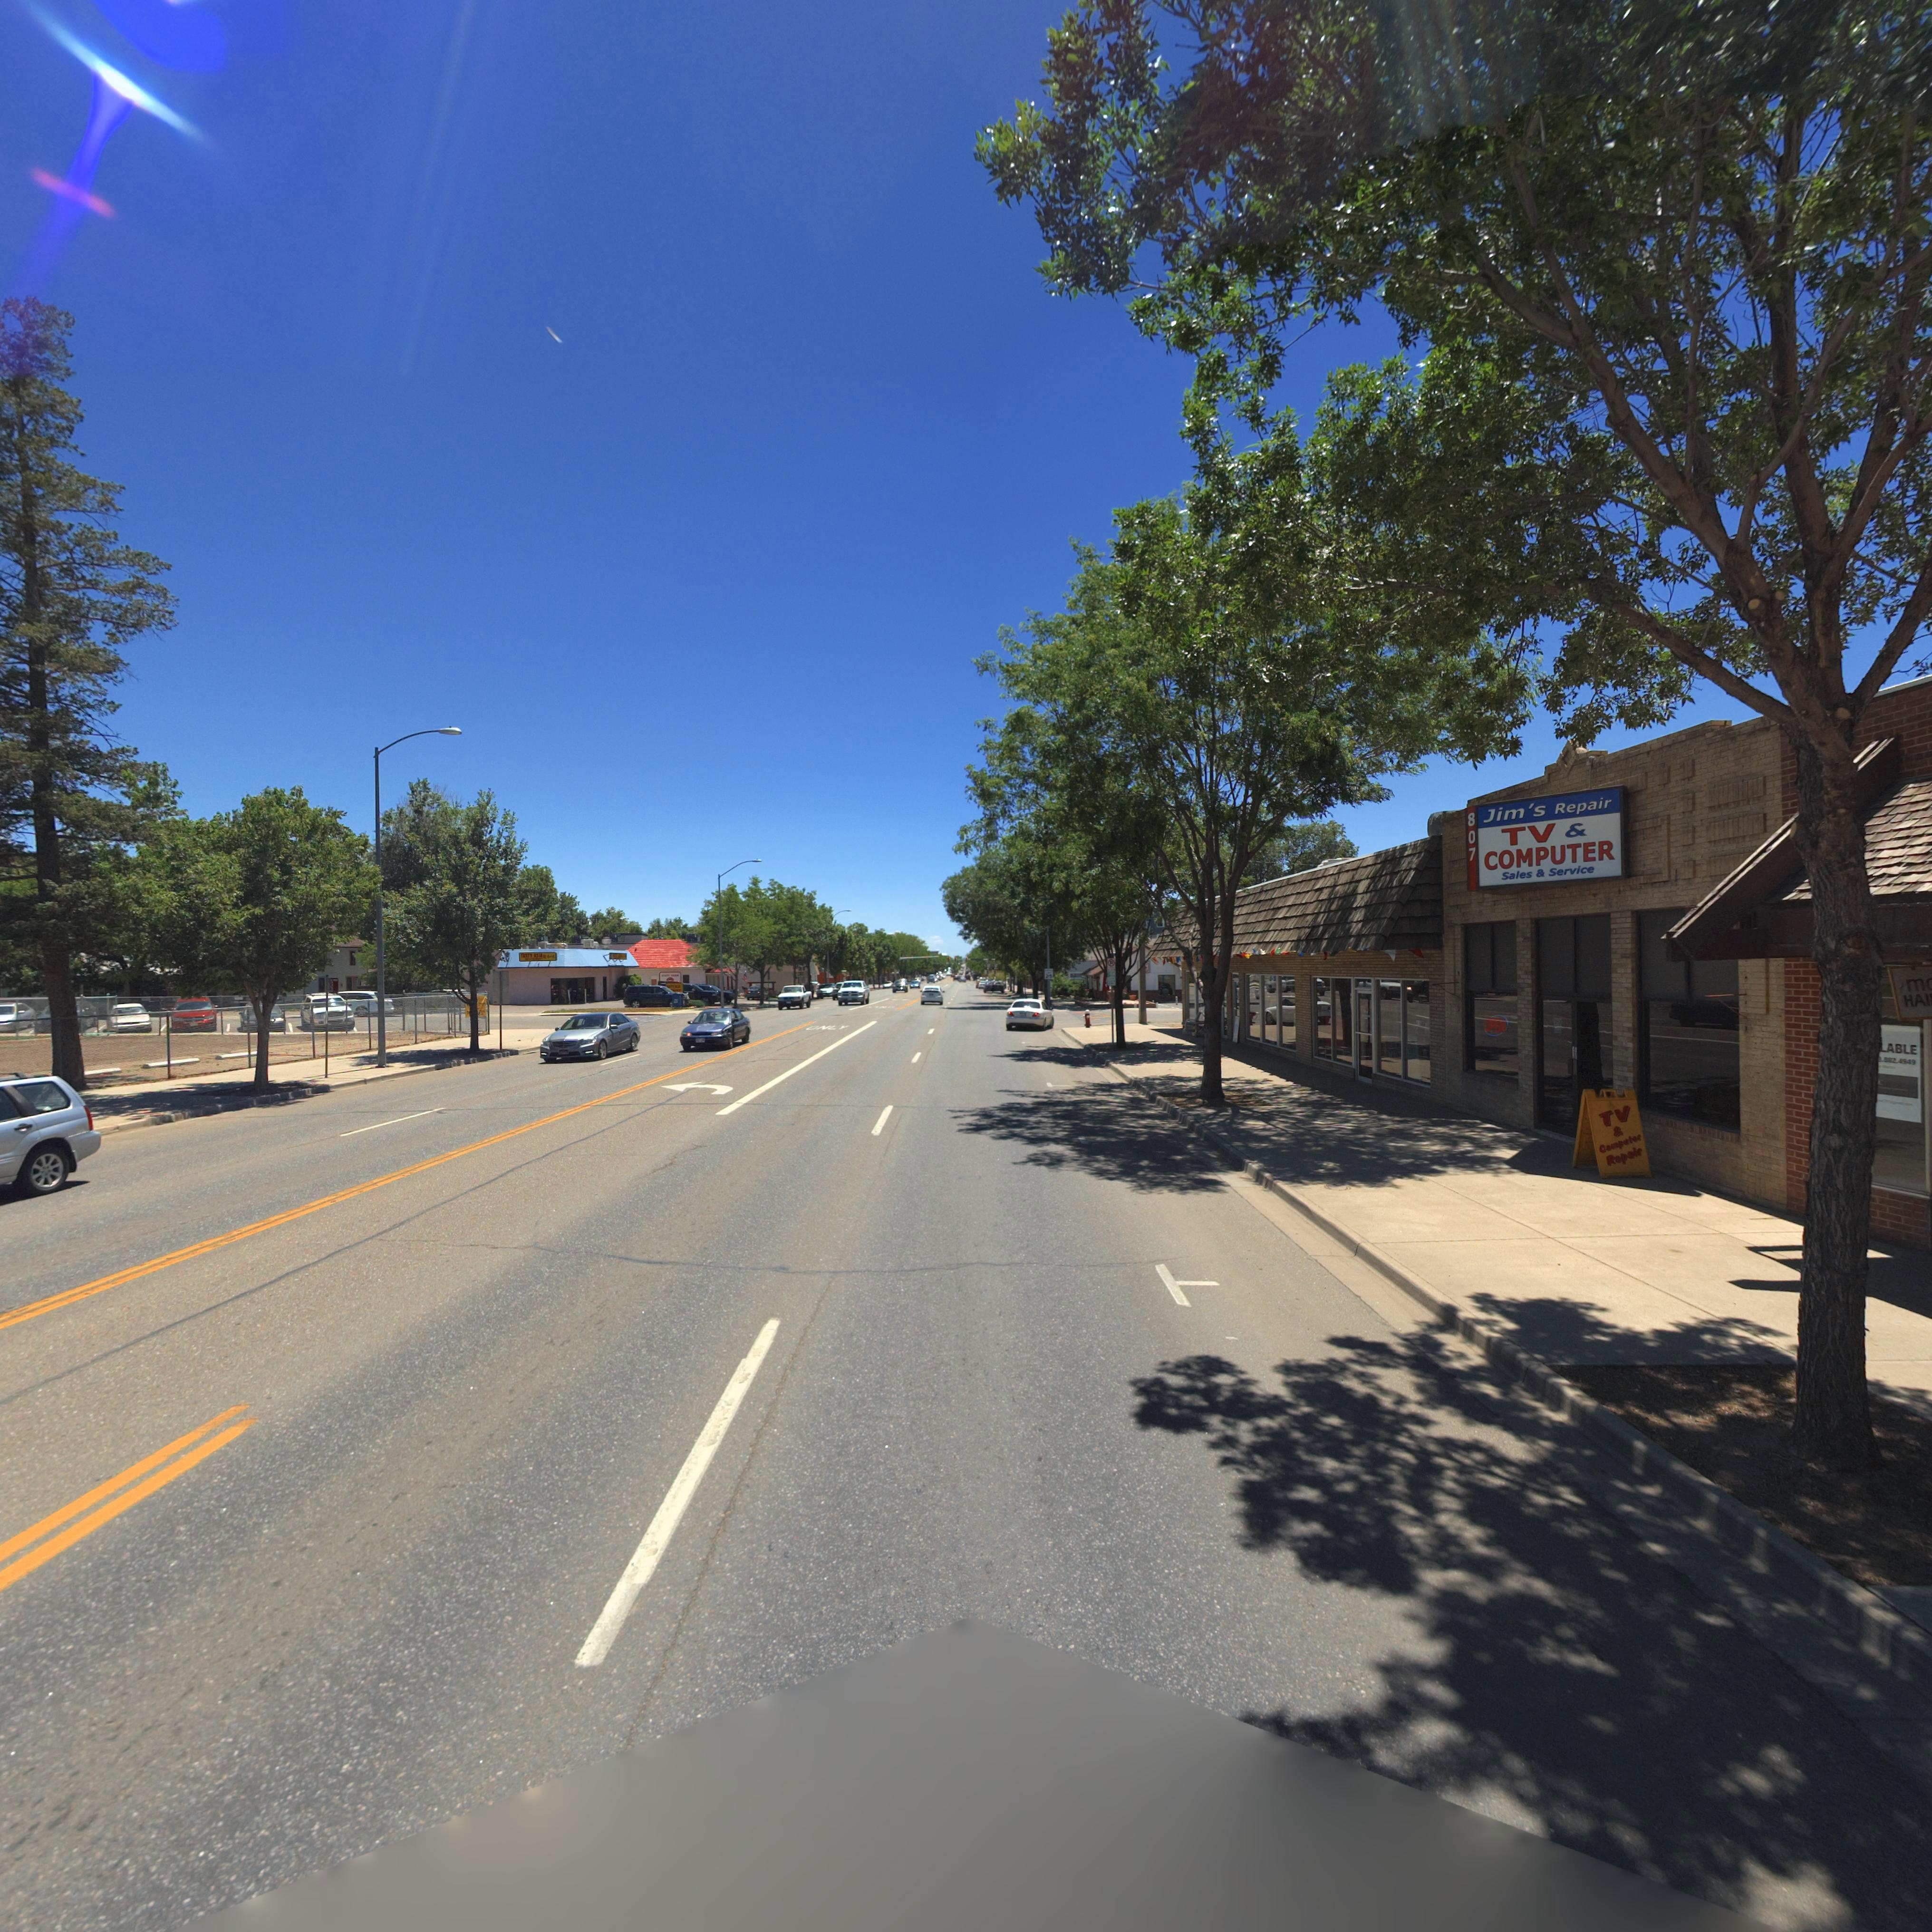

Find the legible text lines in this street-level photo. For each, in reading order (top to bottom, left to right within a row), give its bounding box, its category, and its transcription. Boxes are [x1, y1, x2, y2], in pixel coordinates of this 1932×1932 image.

[1483, 797, 1612, 823] BusinessName: Jim's Repair
[1468, 812, 1476, 861] StreetNumber: 807
[1501, 822, 1587, 846] BusinessName: TV &
[1484, 840, 1615, 871] BusinessName: COMPUTER
[521, 953, 542, 957] BusinessName: TASTY ASIA
[666, 985, 681, 988] BusinessName: ***TY A***
[1598, 1105, 1631, 1127] BusinessName: TV
[1613, 1126, 1624, 1138] BusinessName: &
[1599, 1133, 1642, 1154] BusinessName: Computer
[1605, 1146, 1642, 1167] BusinessName: Repair